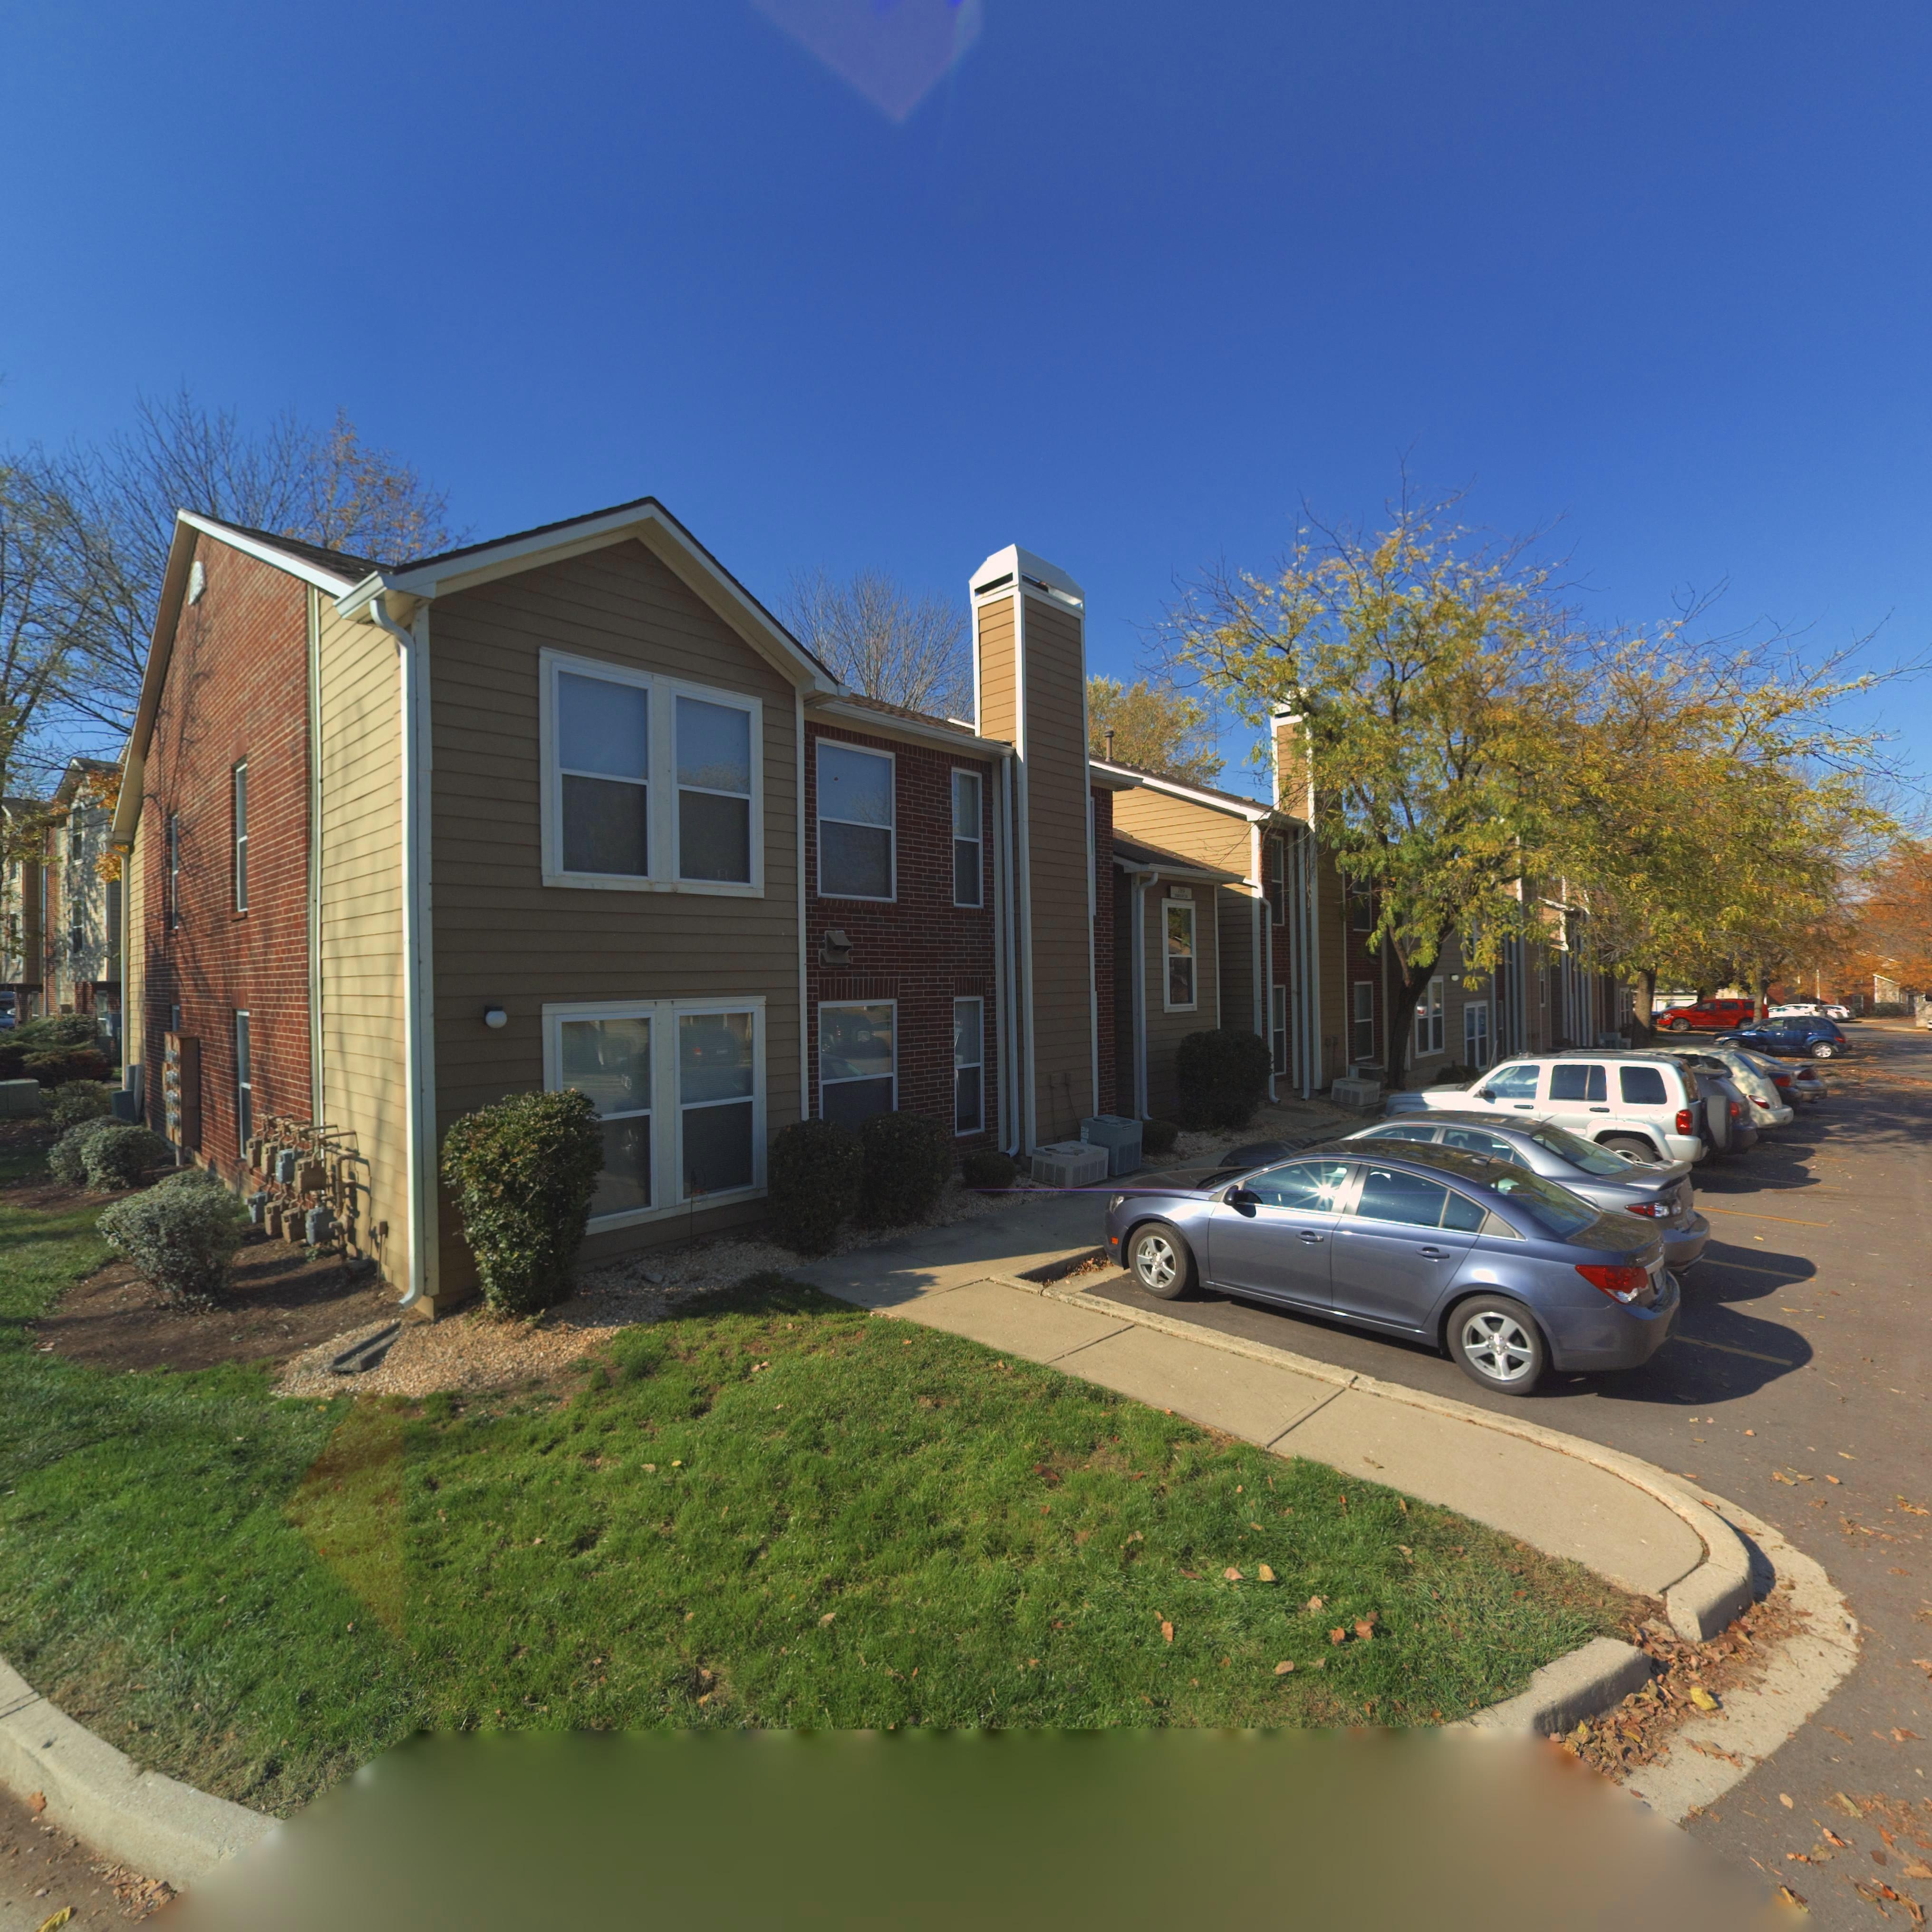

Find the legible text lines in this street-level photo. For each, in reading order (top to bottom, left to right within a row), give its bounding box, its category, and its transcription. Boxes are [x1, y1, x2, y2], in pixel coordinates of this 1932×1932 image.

[1177, 887, 1186, 894] StreetNumber: 7*9